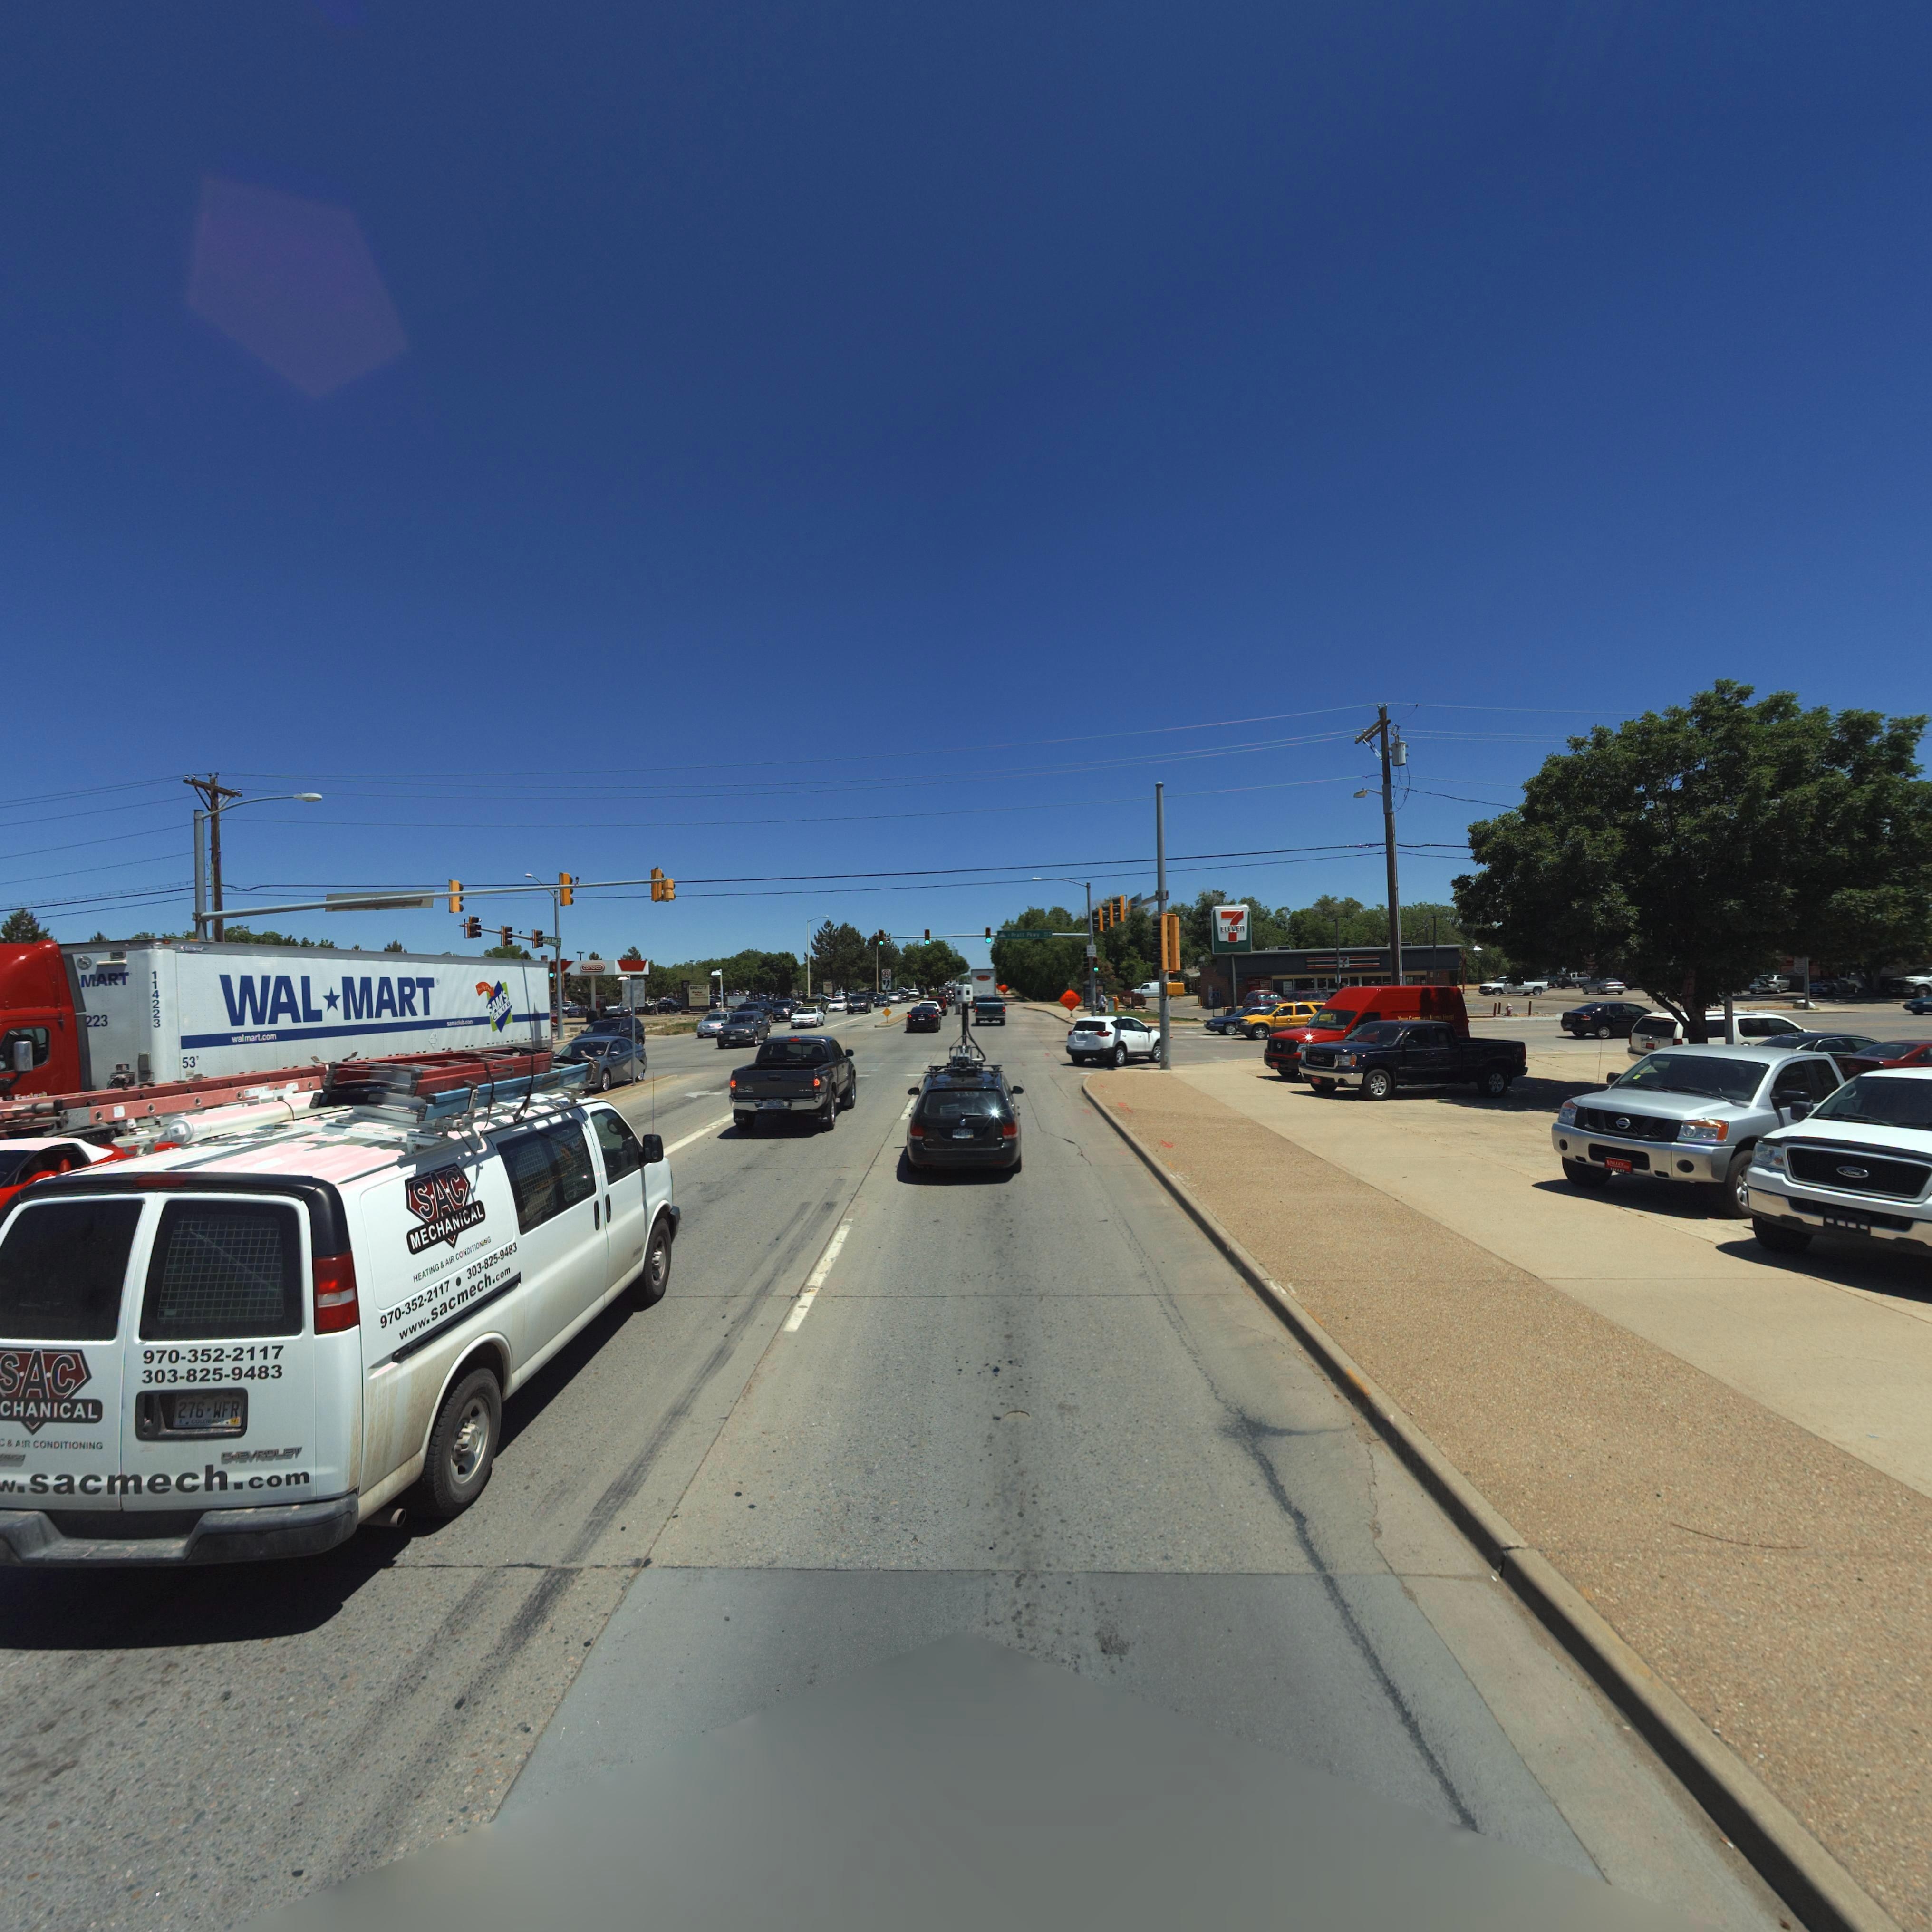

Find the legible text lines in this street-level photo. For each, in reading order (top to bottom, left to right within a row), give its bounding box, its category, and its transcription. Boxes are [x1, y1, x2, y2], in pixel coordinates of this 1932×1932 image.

[1219, 909, 1245, 943] BusinessName: 7
[1219, 925, 1245, 932] BusinessName: ELEVEn
[1011, 931, 1040, 938] StreetName: Pr*tt Pkw*
[1340, 957, 1347, 967] BusinessName: 7
[582, 966, 602, 969] BusinessName: conoco